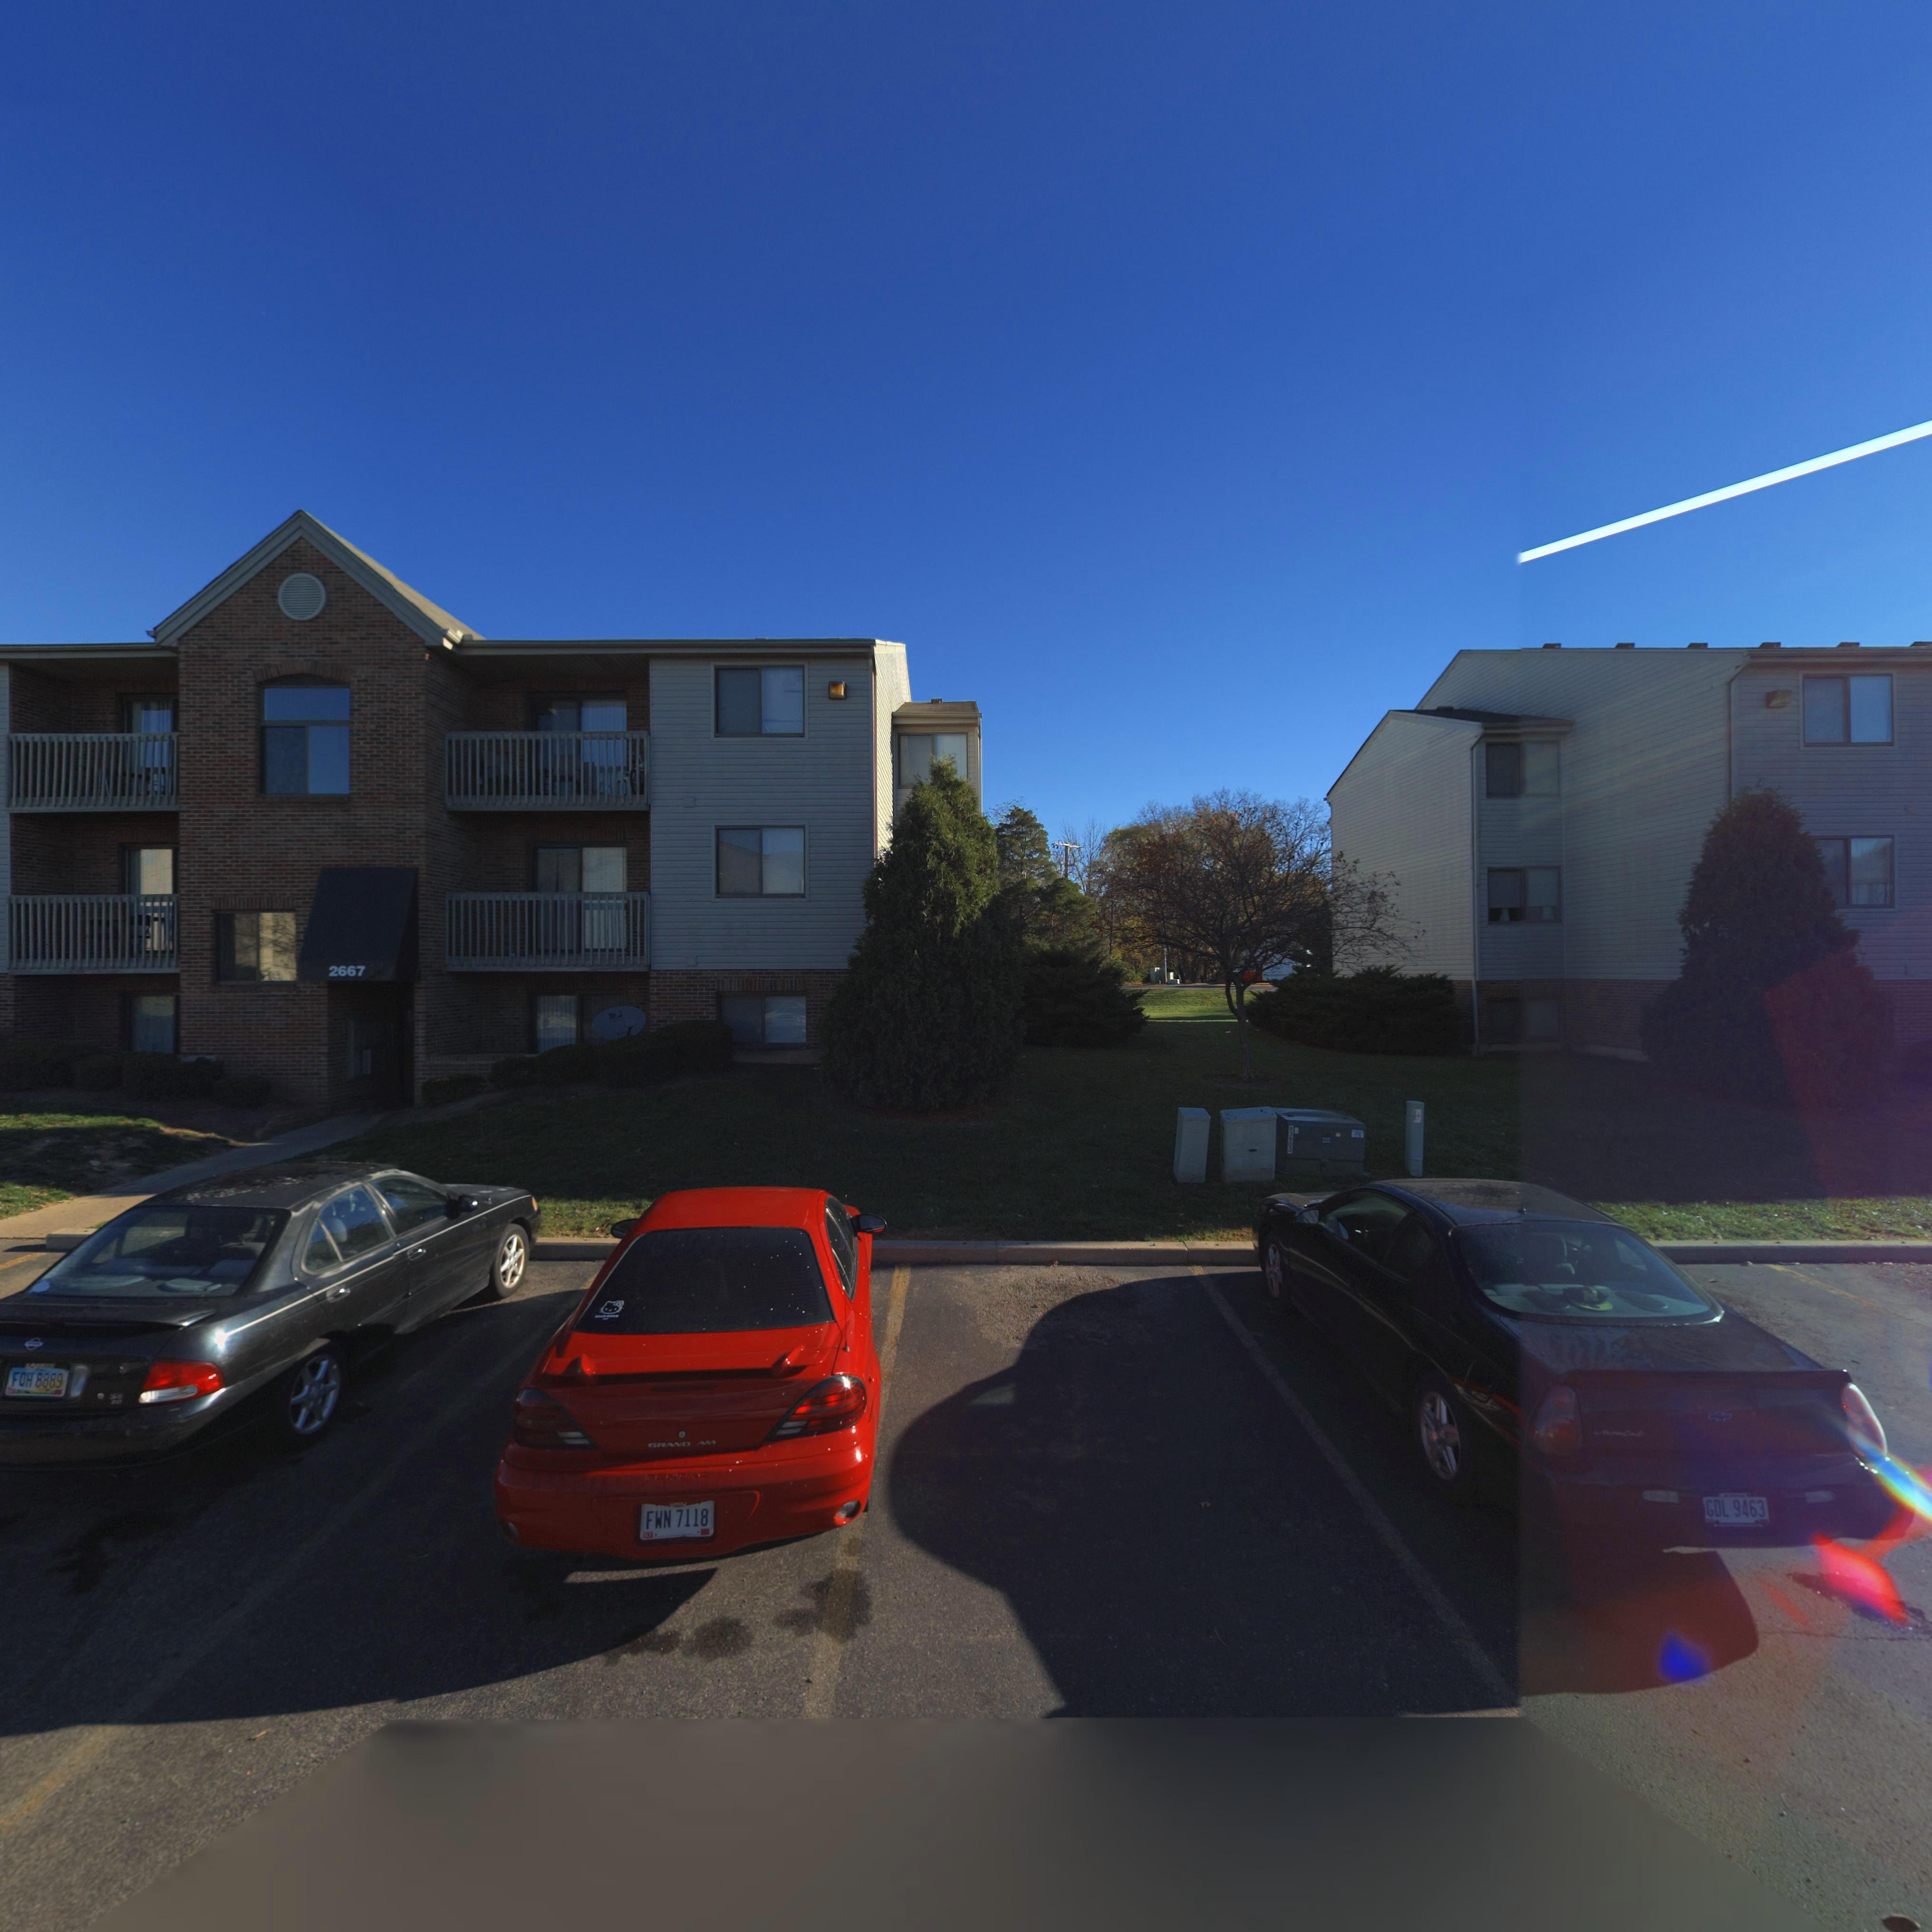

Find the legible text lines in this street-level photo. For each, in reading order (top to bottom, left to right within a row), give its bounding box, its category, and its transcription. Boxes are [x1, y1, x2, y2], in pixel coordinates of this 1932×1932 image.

[328, 965, 366, 977] StreetNumber: 2667